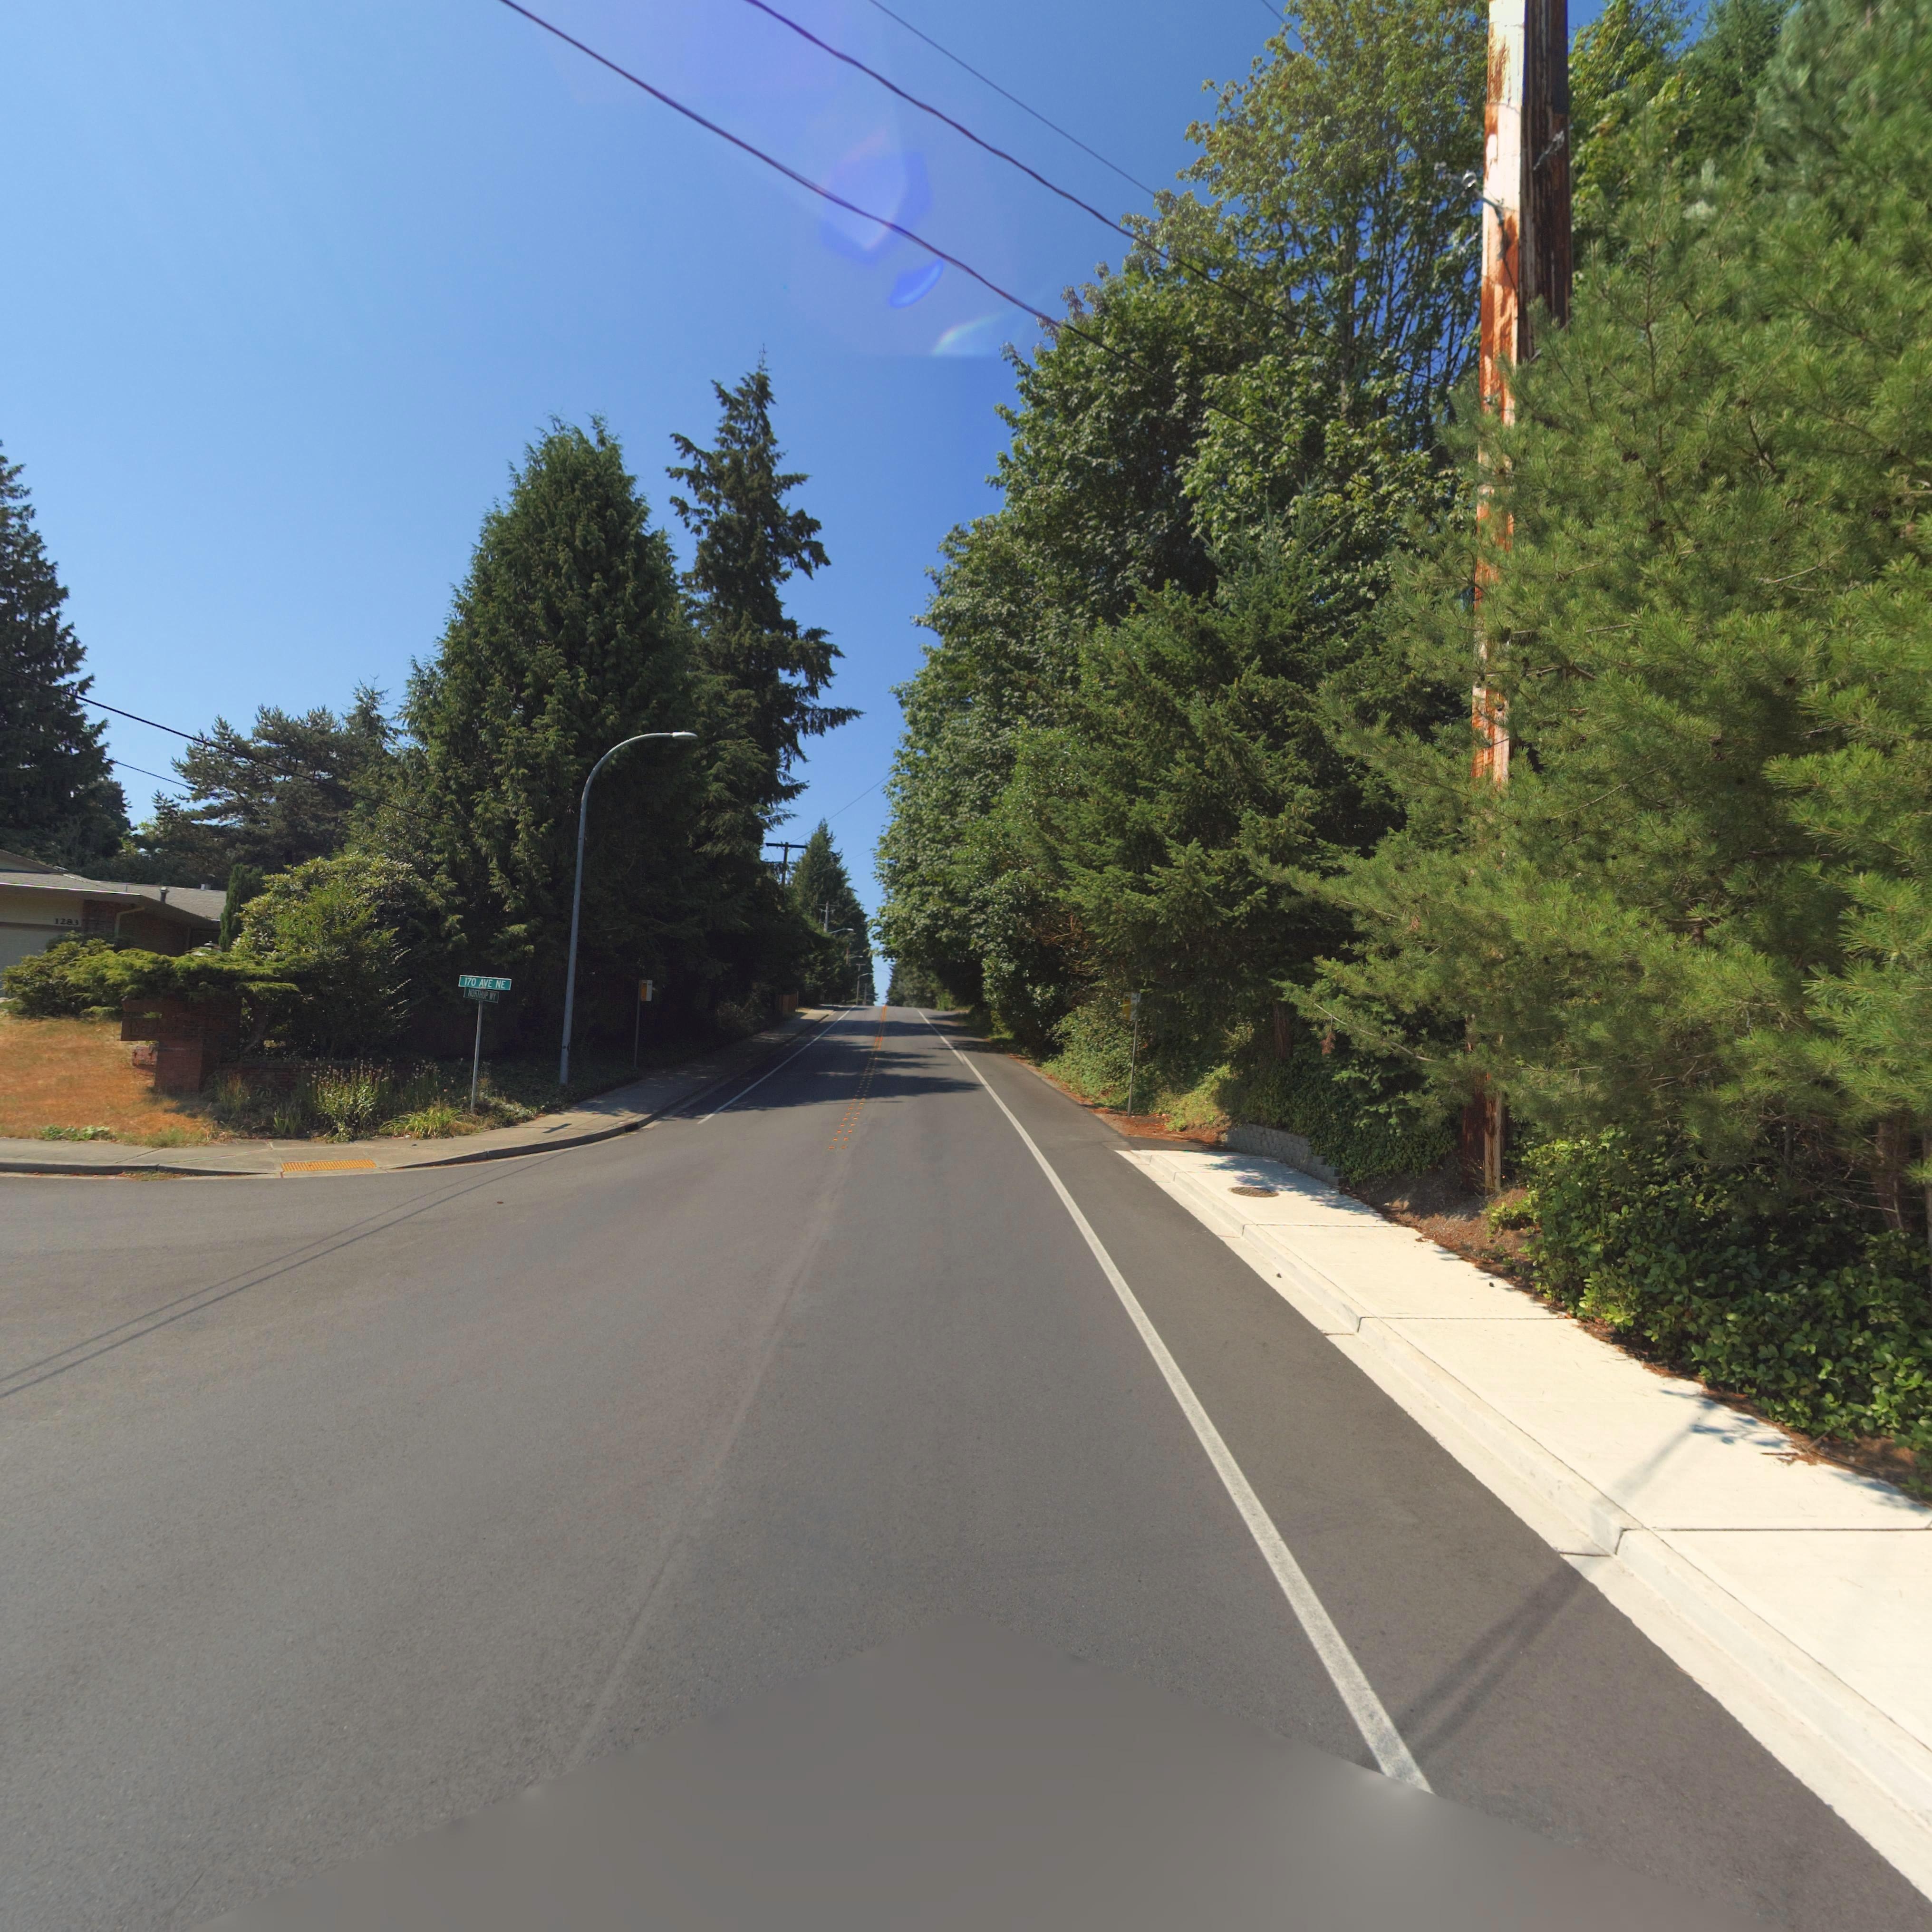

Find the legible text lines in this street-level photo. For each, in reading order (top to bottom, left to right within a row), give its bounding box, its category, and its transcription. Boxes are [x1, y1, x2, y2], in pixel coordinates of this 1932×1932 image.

[54, 916, 79, 926] StreetNumber: 1283
[464, 976, 507, 988] StreetName: 170 AVE NE
[466, 987, 498, 1001] StreetName: NORTHUP WY